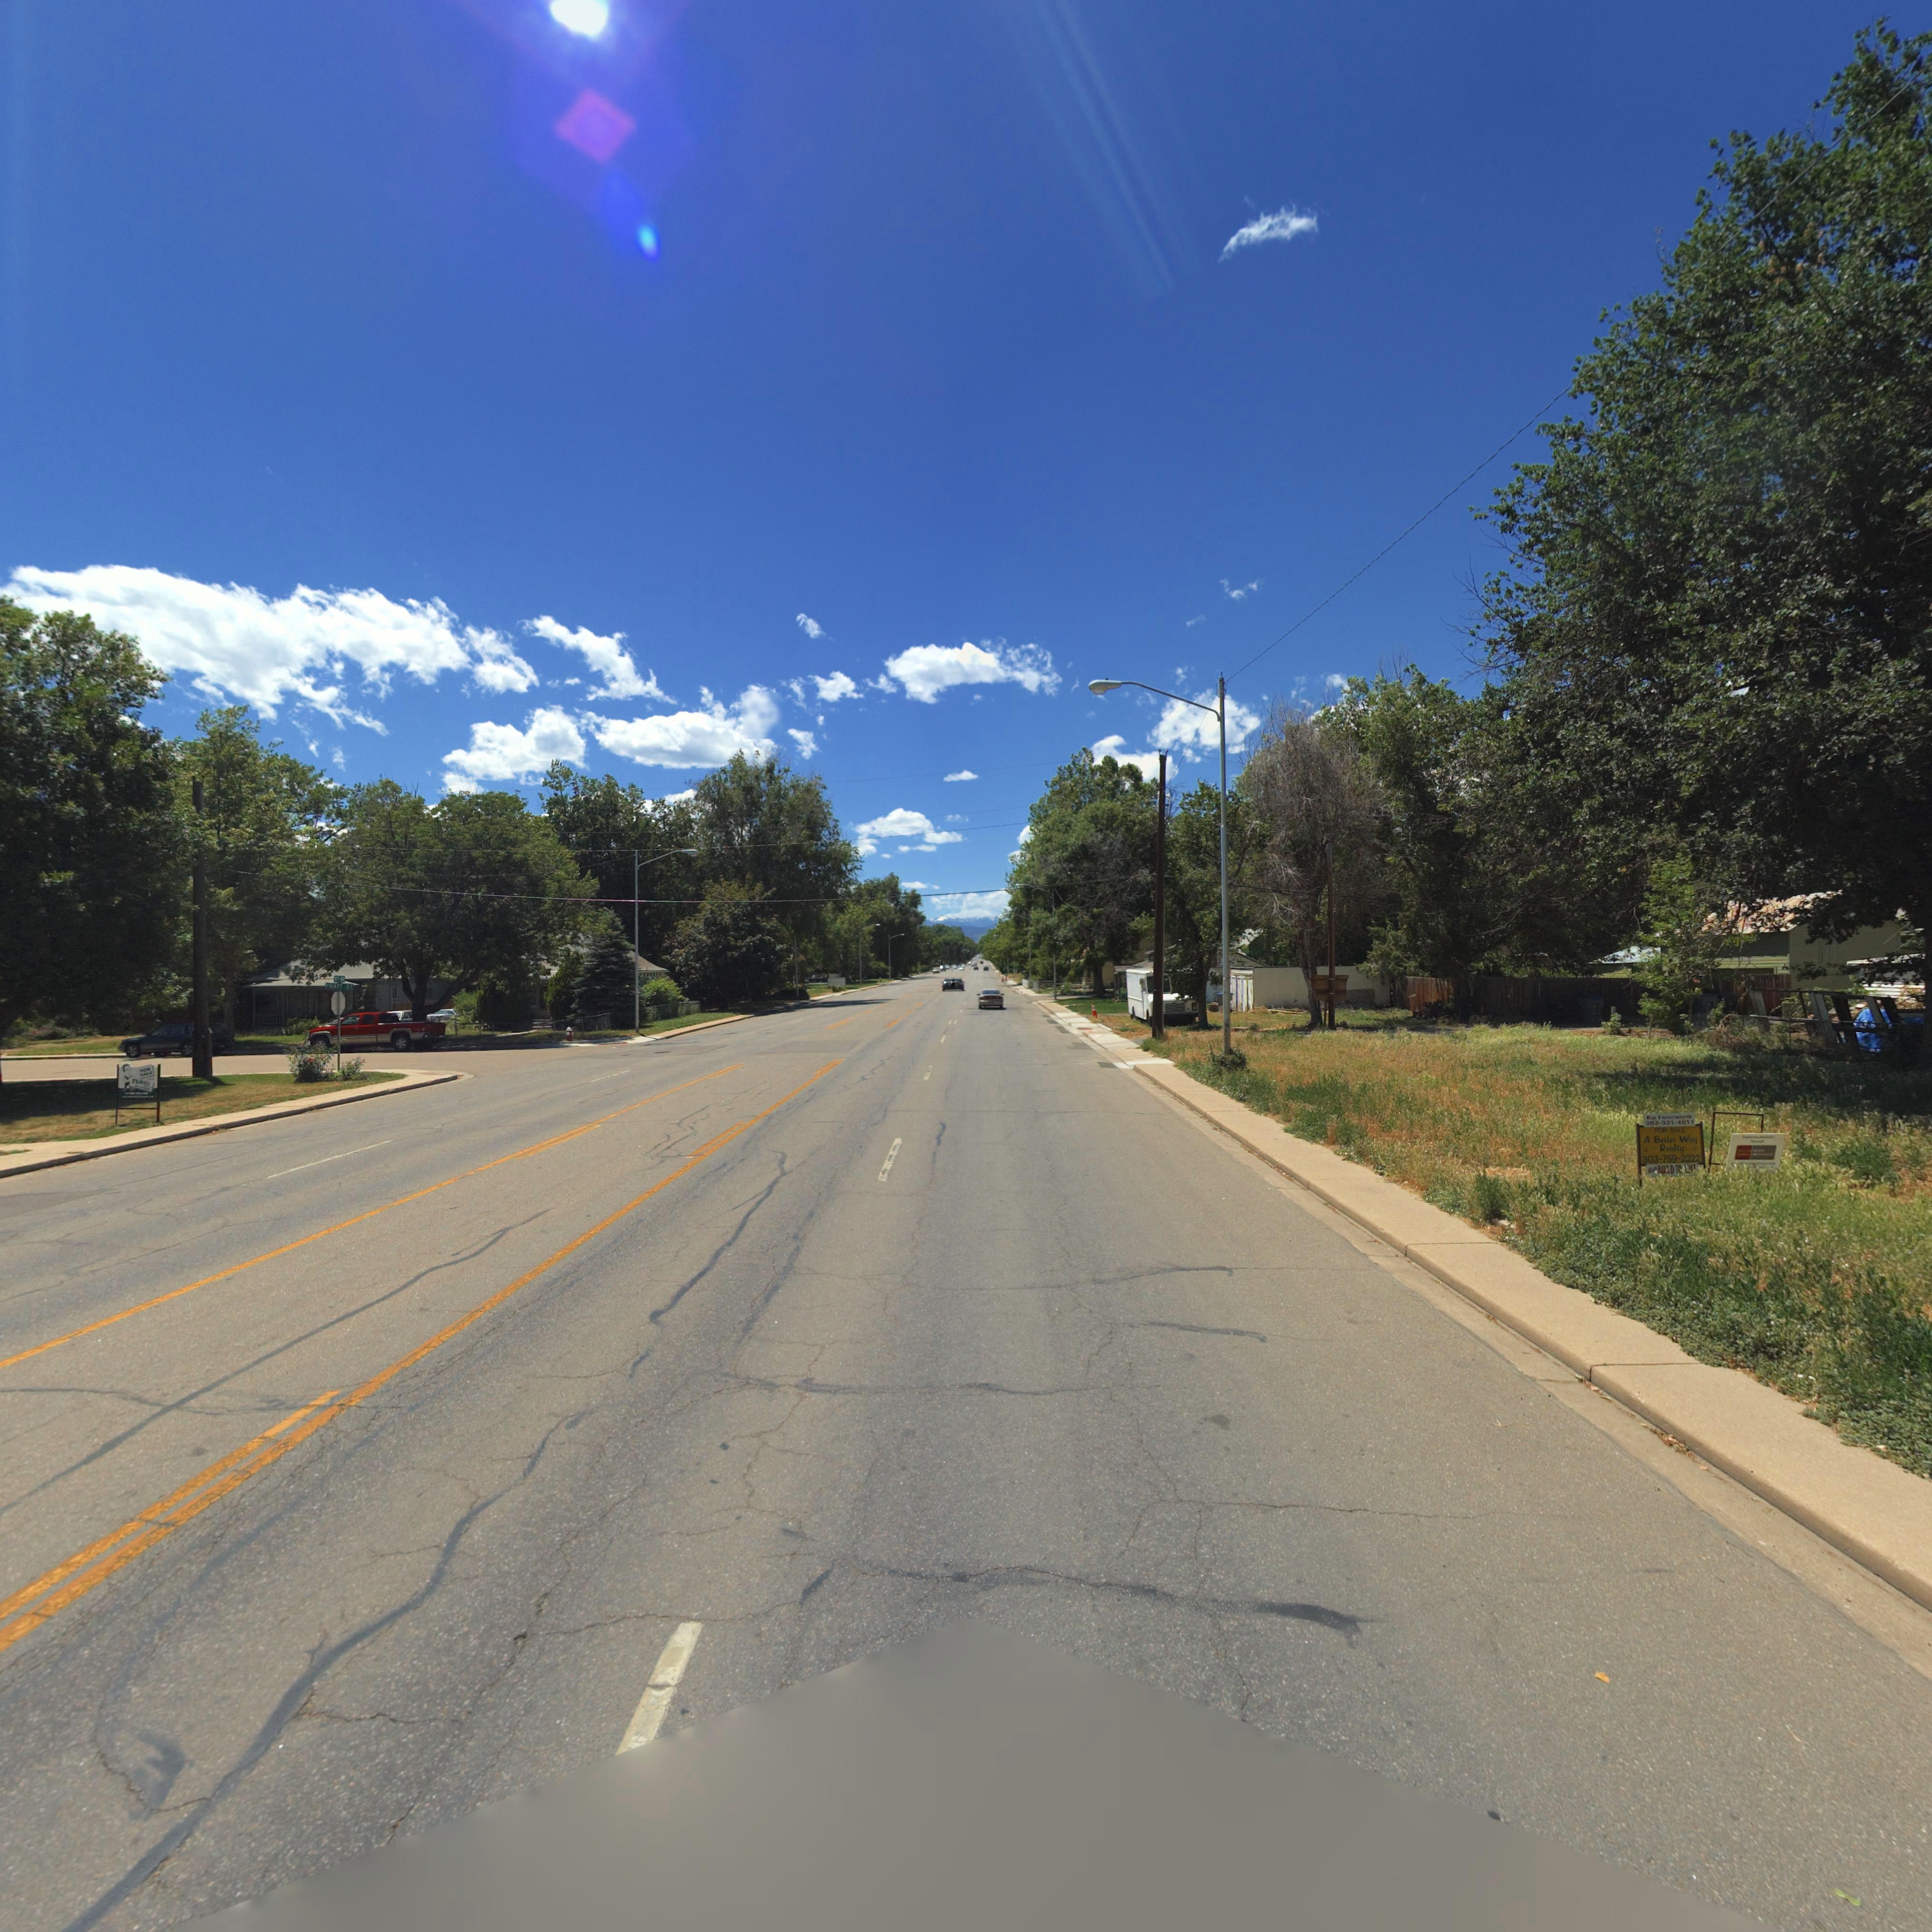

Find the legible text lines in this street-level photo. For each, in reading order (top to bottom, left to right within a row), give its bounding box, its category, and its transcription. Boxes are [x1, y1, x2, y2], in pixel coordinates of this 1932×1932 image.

[325, 983, 352, 989] StreetName: PRATT ST